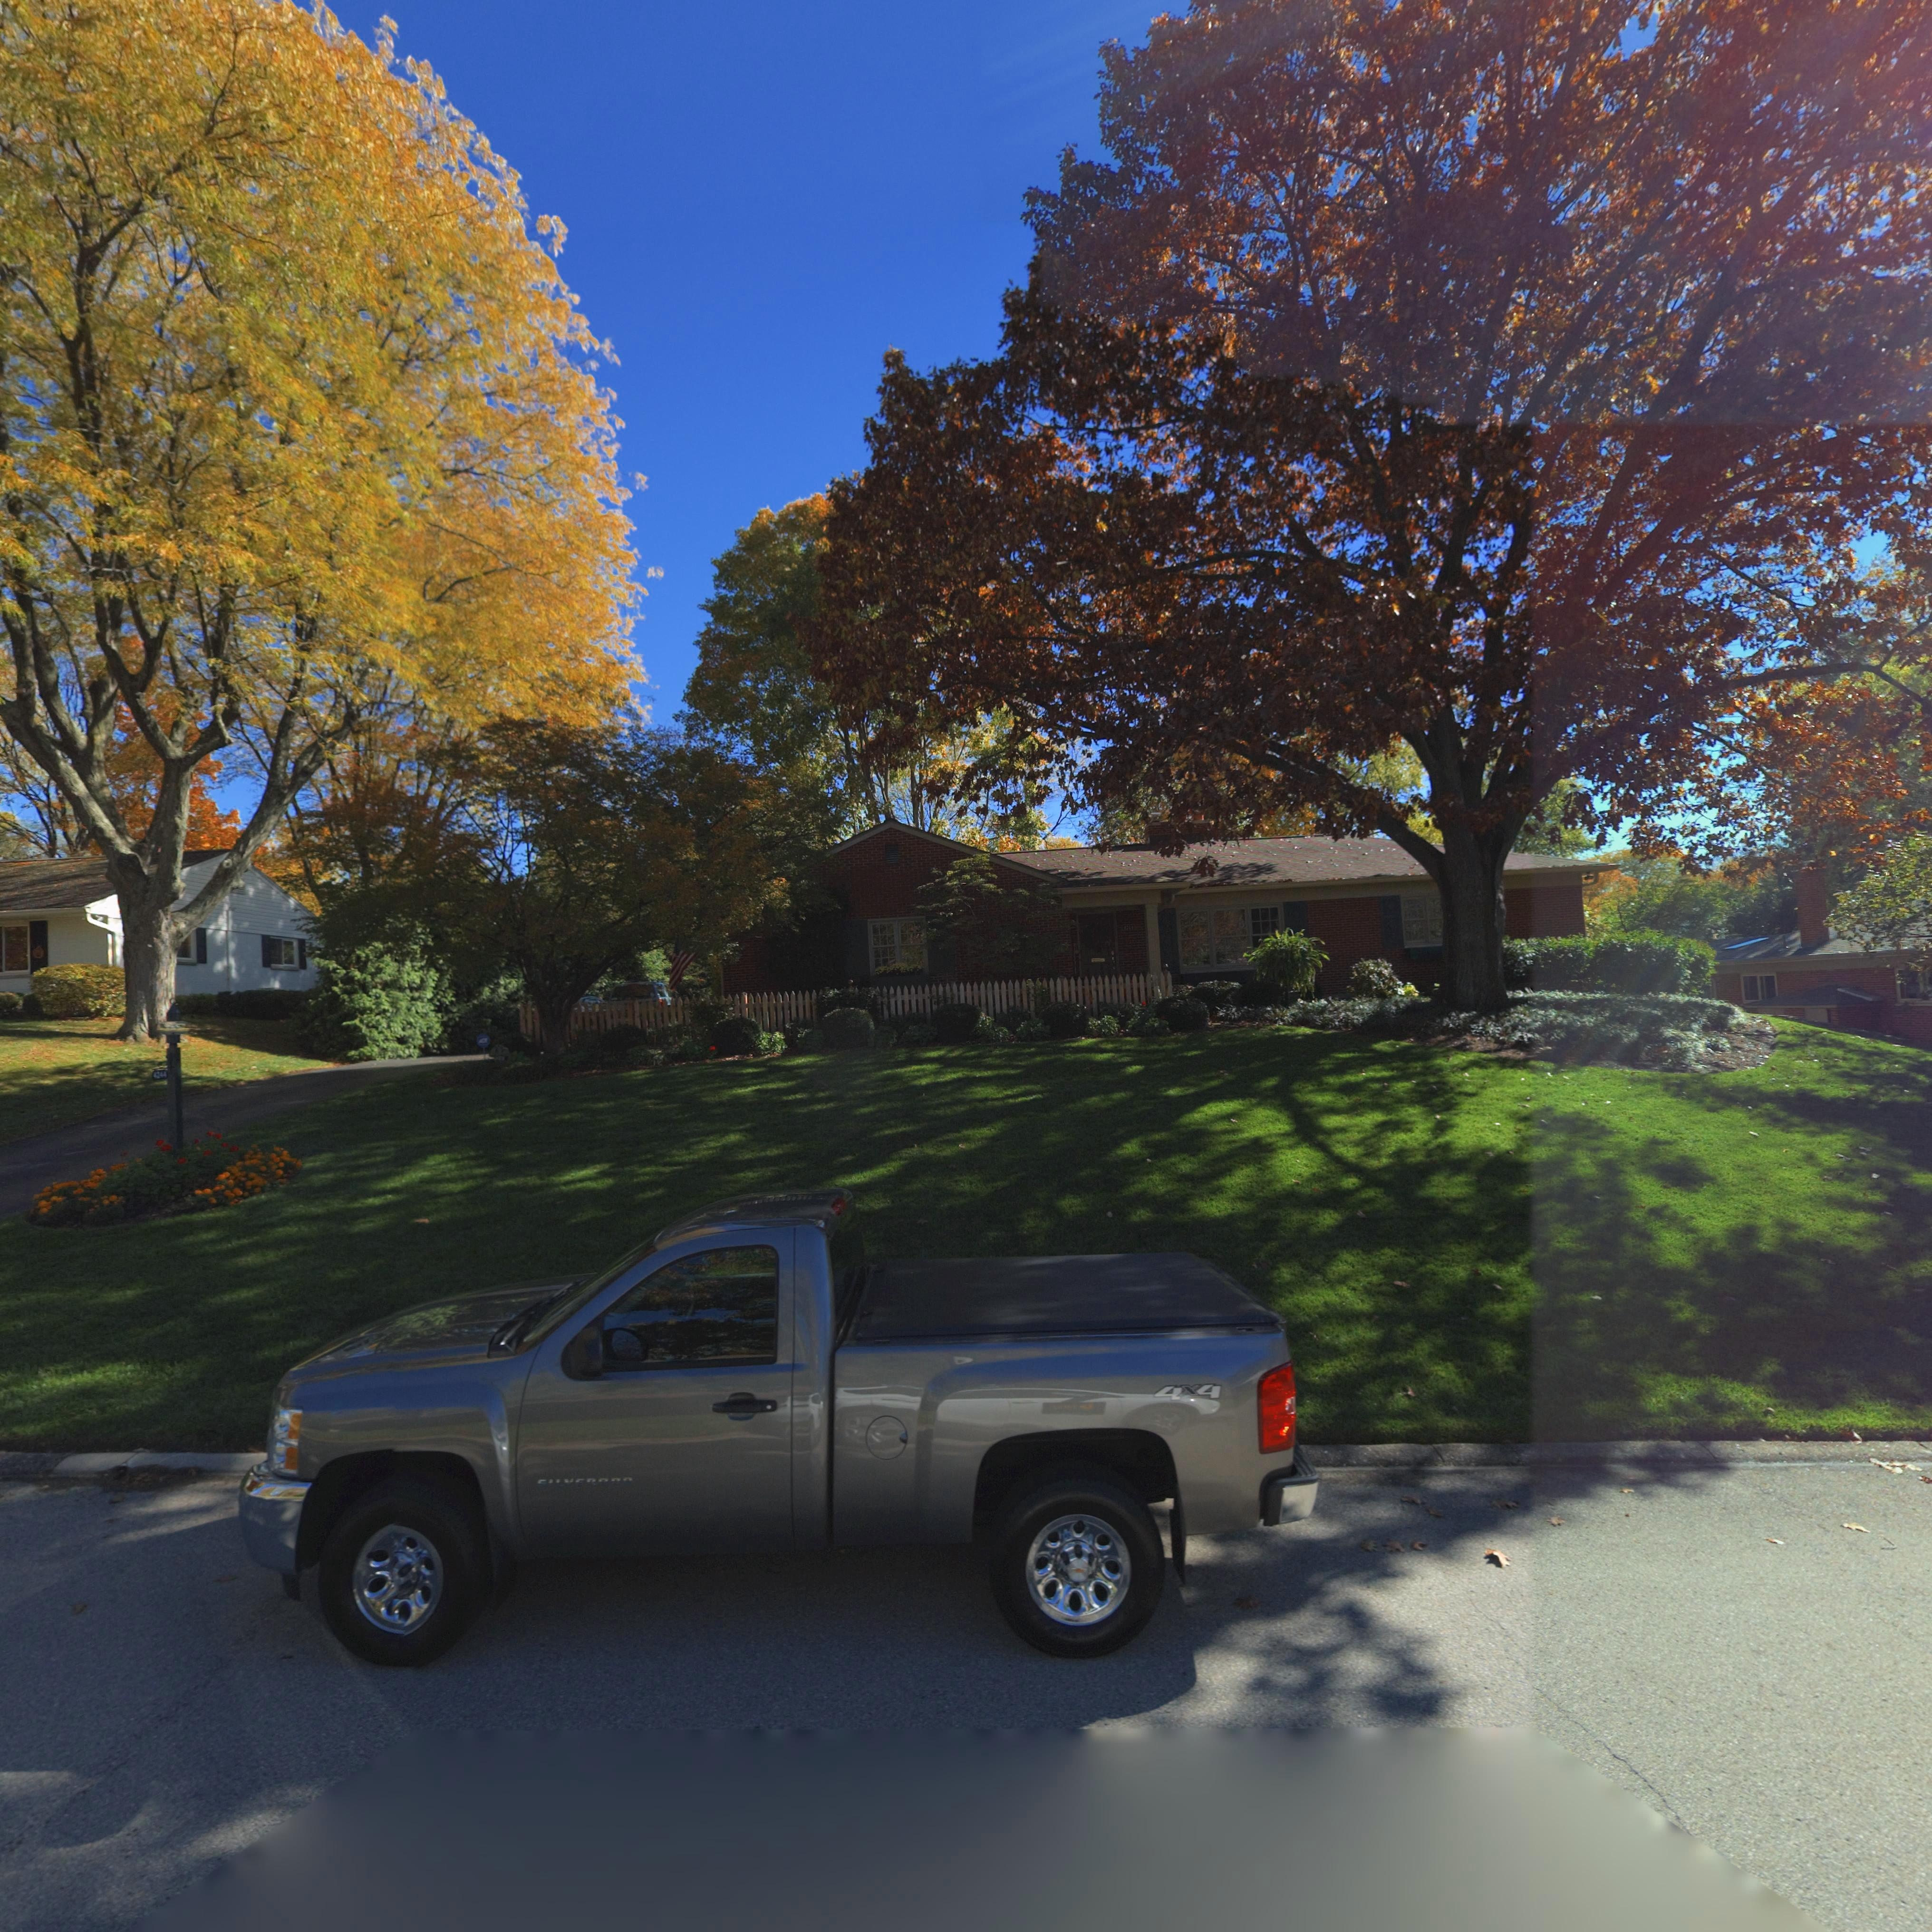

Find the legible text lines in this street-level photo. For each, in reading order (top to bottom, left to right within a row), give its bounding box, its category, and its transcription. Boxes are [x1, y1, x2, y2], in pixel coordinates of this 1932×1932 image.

[1123, 925, 1134, 930] StreetNumber: 4*44
[152, 1071, 167, 1079] StreetNumber: 4244